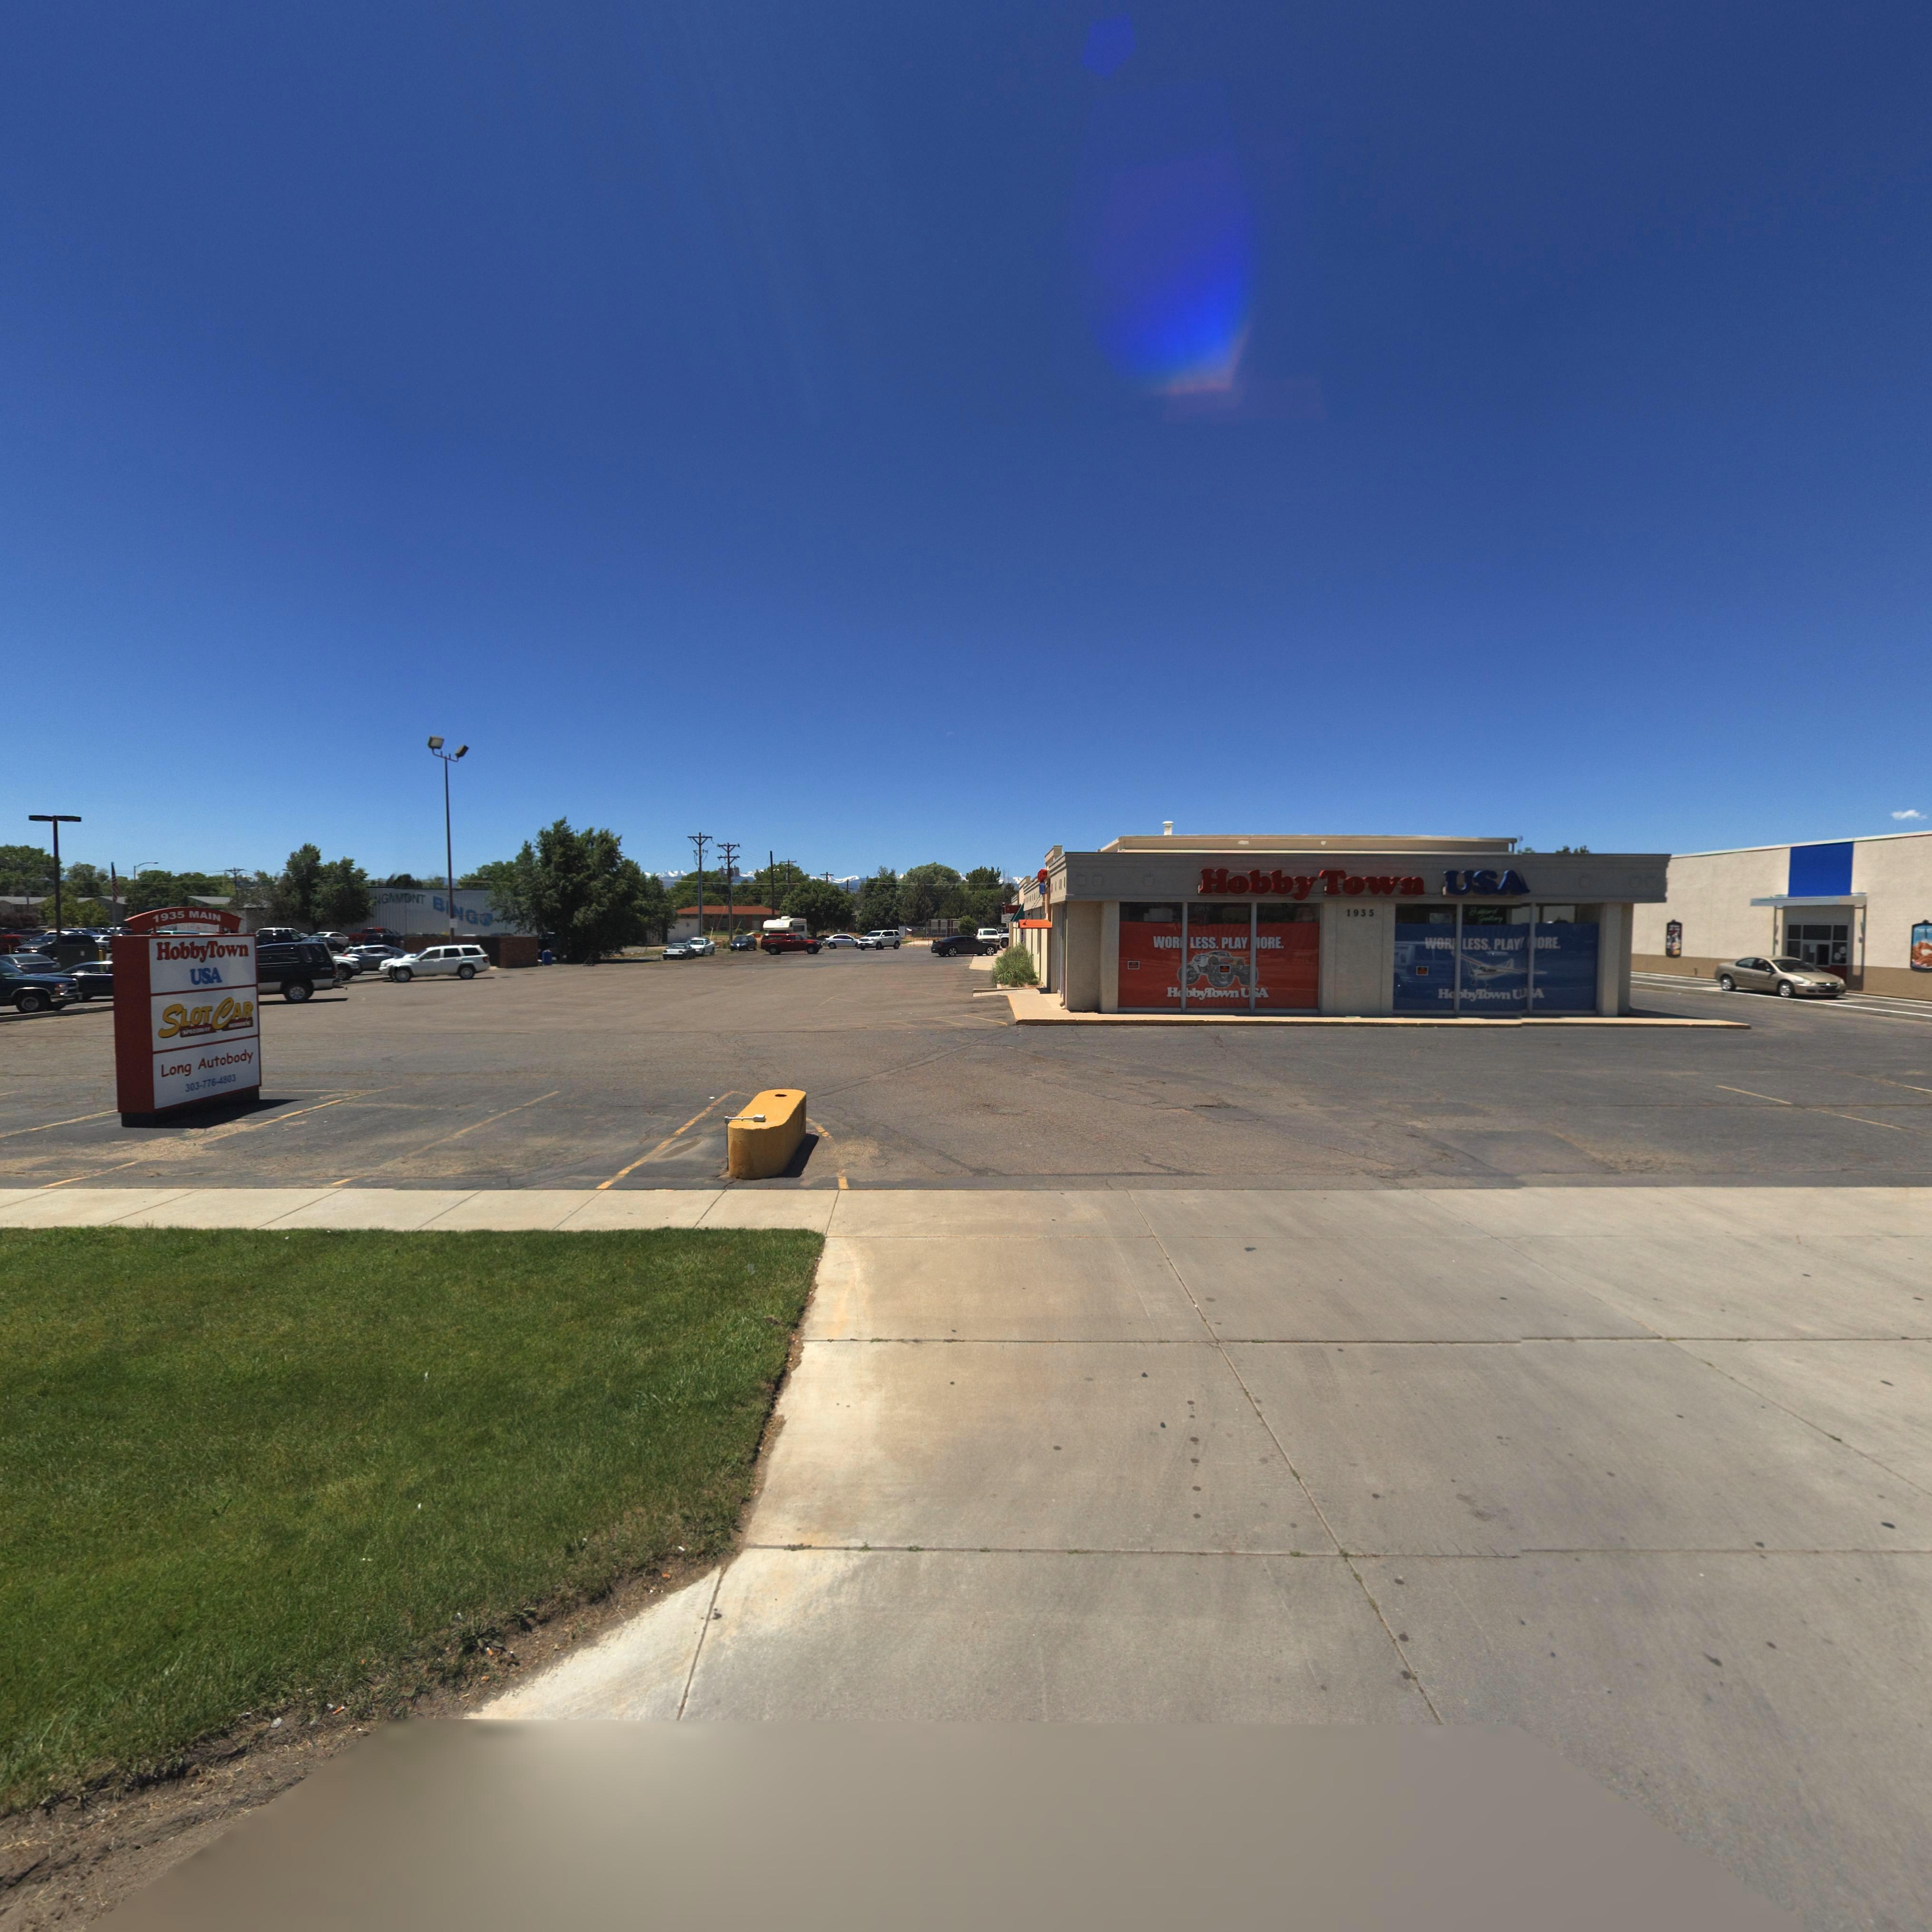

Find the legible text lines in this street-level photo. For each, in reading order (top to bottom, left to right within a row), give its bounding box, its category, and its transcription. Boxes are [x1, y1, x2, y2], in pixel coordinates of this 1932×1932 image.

[1195, 866, 1533, 902] BusinessName: HobbyTownUSA
[373, 892, 427, 907] BusinessName: NGM*ONT
[151, 909, 185, 924] StreetNumber: 1935
[188, 910, 221, 922] StreetName: MAIN
[432, 894, 494, 927] BusinessName: B*NG*
[1347, 908, 1374, 917] StreetNumber: 1935
[155, 939, 251, 963] BusinessName: HobbyTown
[188, 965, 224, 986] BusinessName: USA
[1165, 986, 1271, 1001] BusinessName: H*bbyTownU*A
[1437, 986, 1546, 1002] BusinessName: H**bytownU*A
[156, 996, 253, 1038] BusinessName: SlotCar
[160, 1048, 254, 1078] BusinessName: Long Autobody